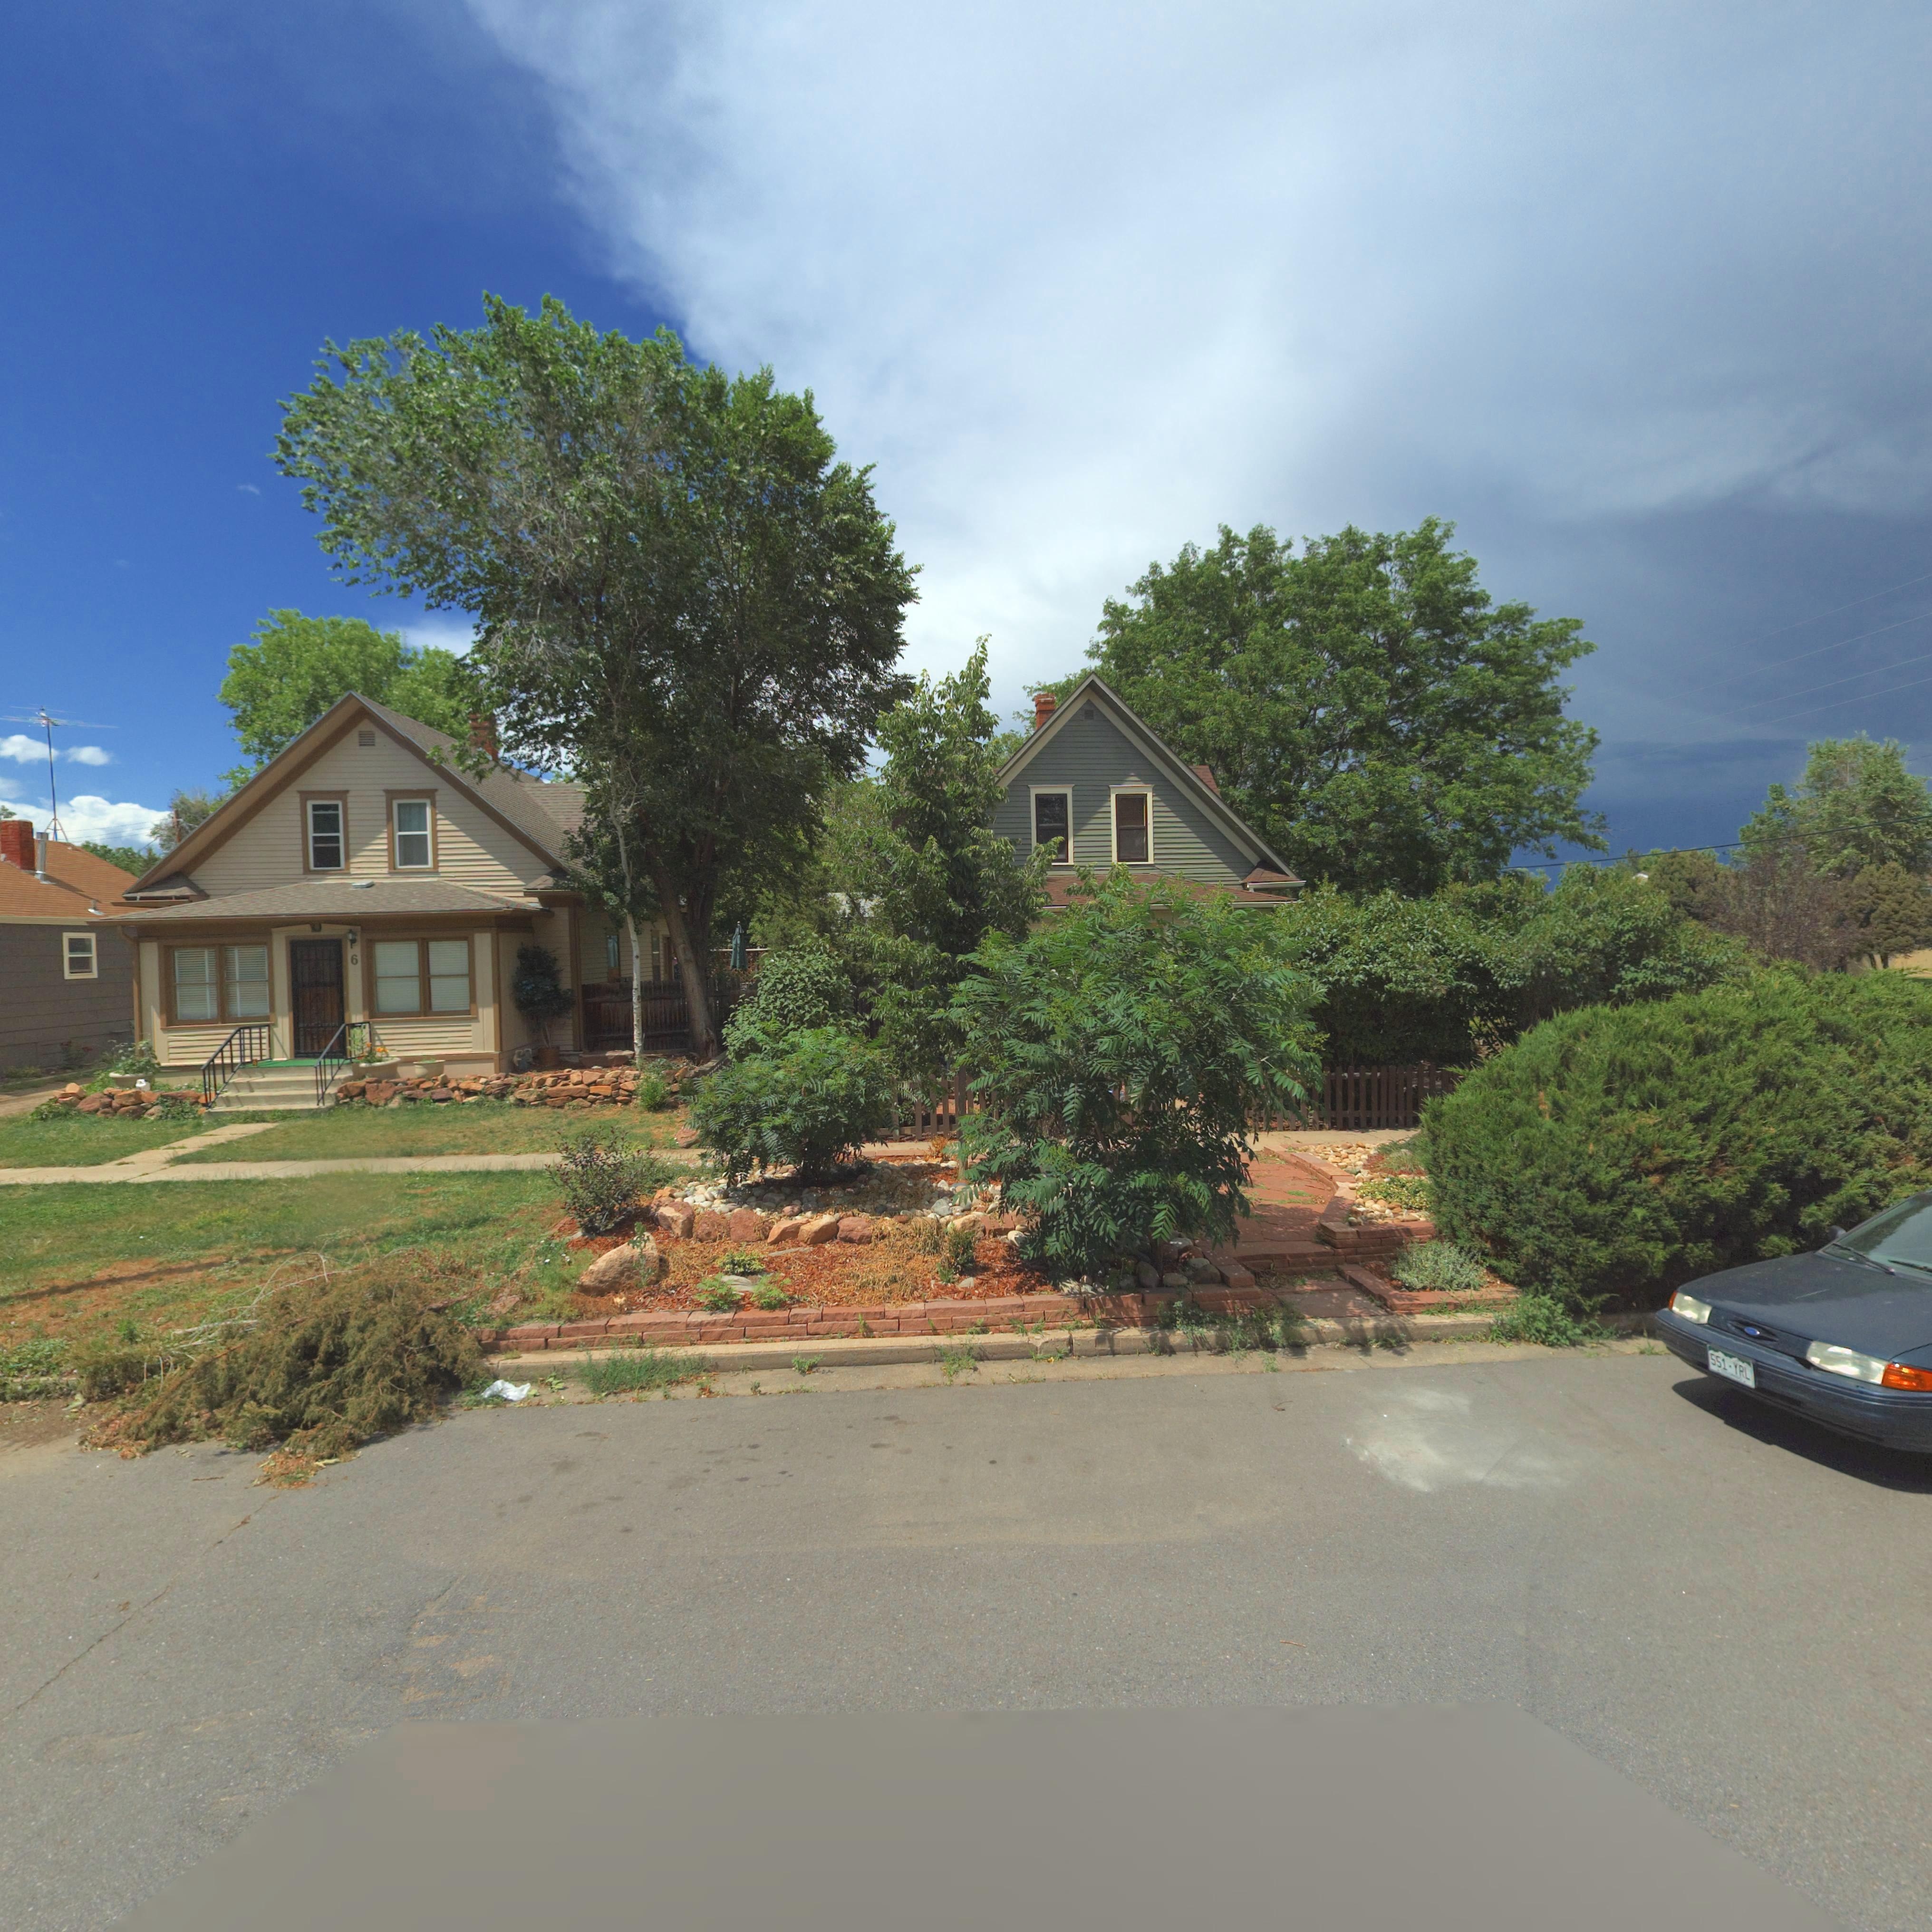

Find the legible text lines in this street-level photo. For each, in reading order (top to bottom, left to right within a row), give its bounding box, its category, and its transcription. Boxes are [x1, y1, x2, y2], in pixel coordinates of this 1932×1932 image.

[350, 954, 358, 966] StreetNumber: 6